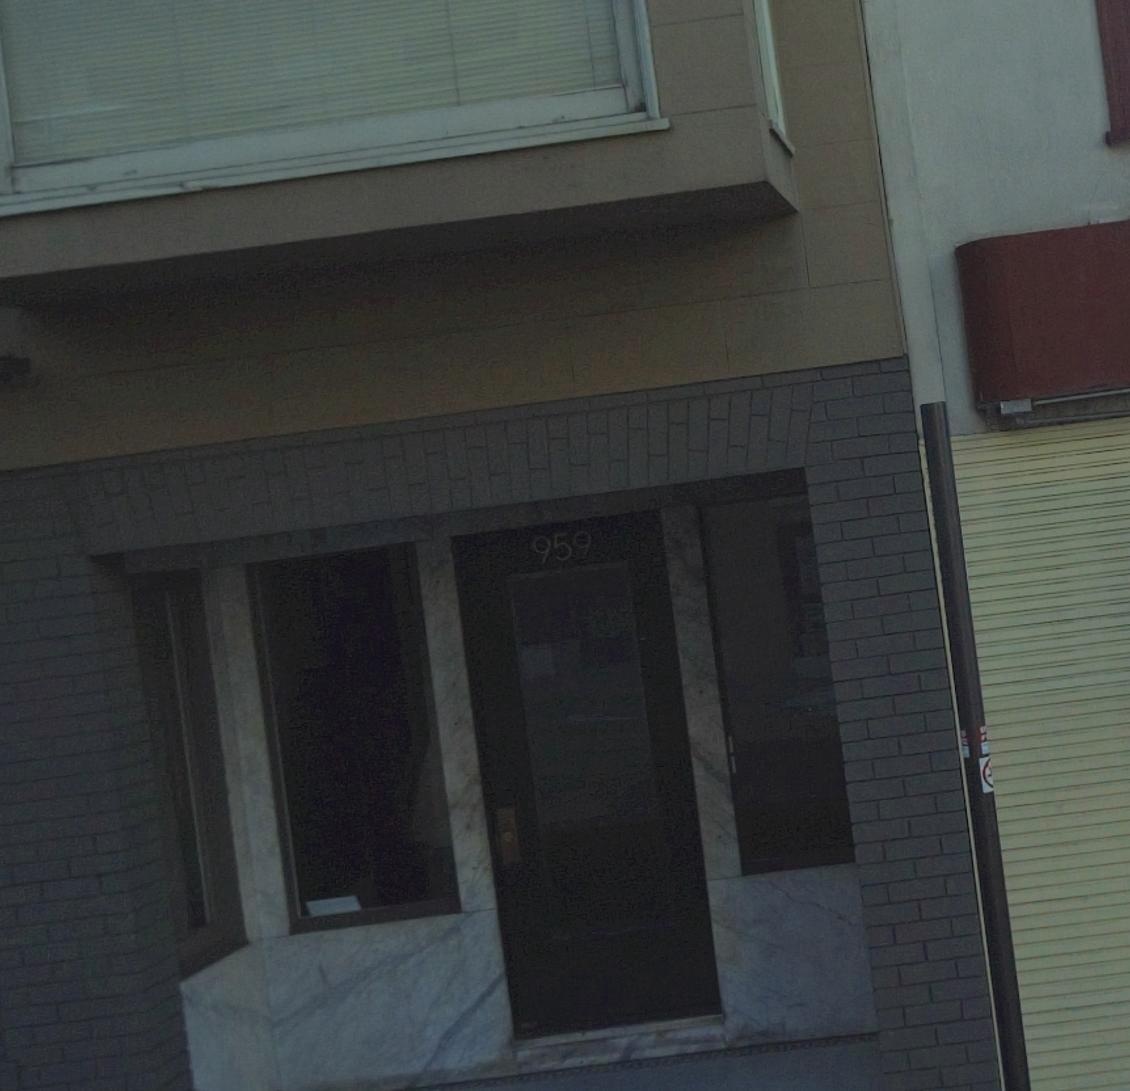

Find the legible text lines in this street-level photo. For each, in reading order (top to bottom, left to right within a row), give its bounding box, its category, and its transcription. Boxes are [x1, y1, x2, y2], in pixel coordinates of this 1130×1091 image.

[528, 524, 595, 569] StreetNumber: 959